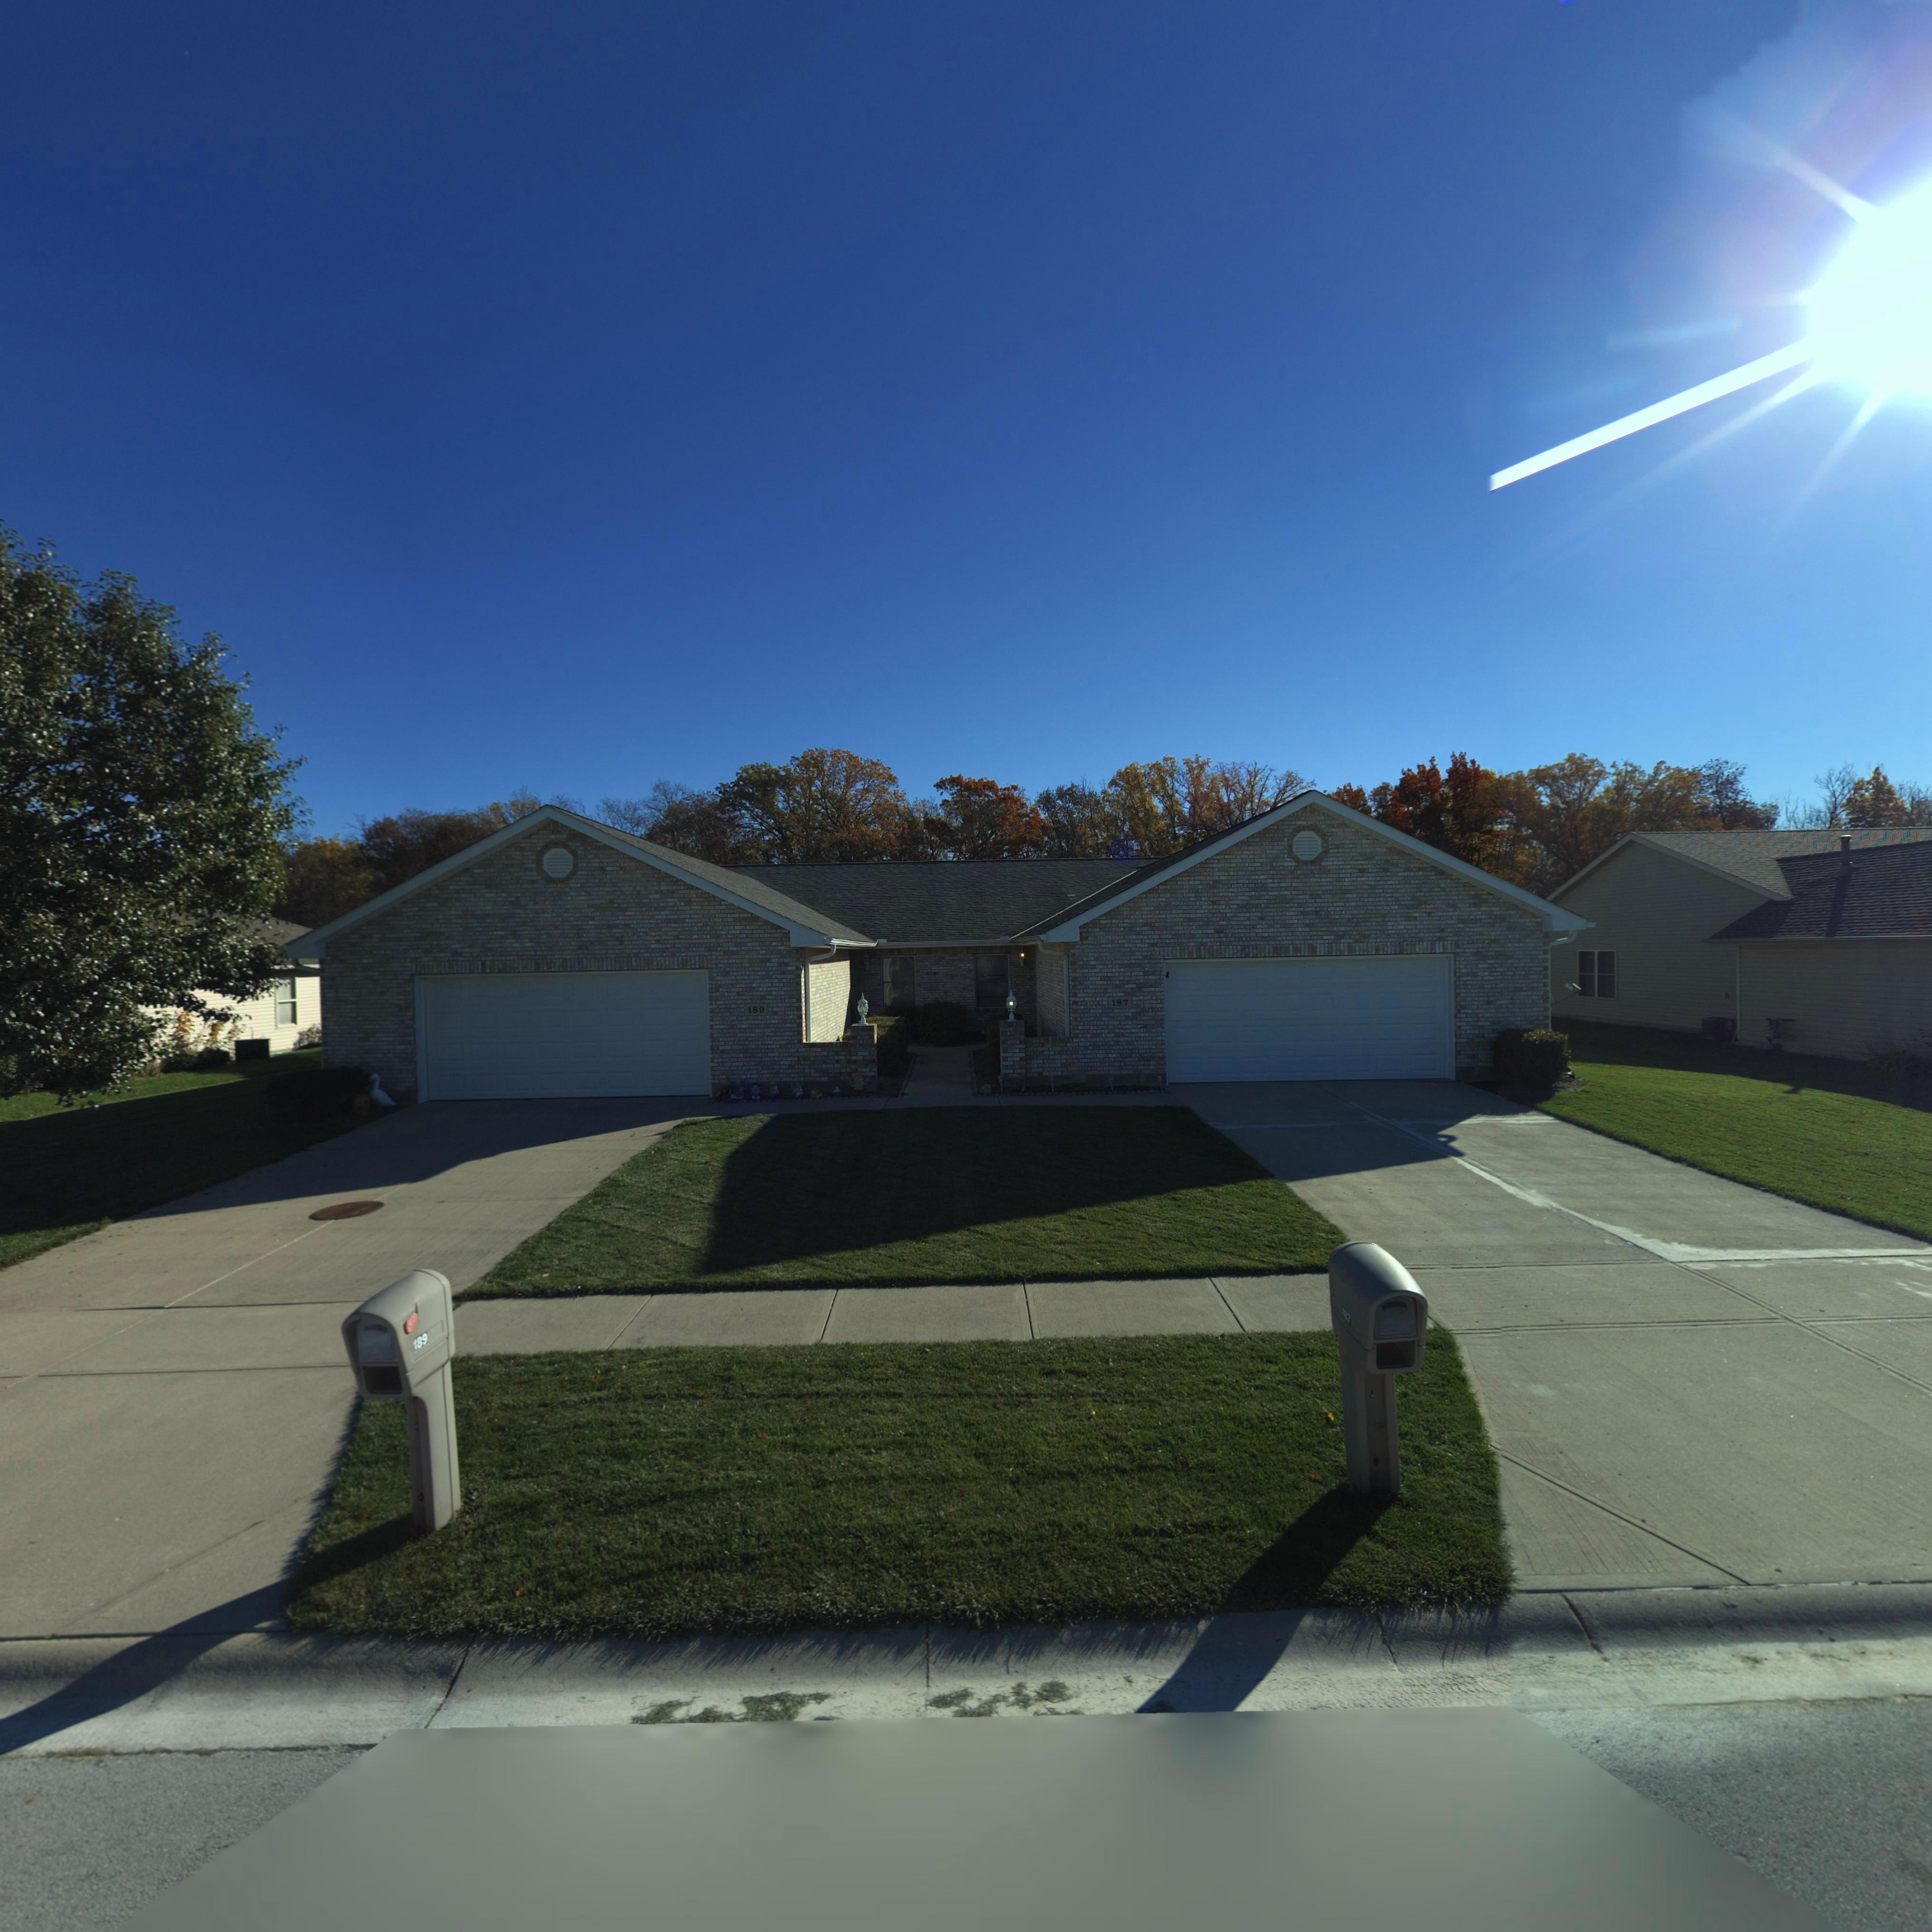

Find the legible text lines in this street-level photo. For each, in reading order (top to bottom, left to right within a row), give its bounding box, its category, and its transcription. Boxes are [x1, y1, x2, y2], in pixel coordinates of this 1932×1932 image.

[1111, 998, 1129, 1007] StreetNumber: 187
[747, 1005, 765, 1014] StreetNumber: 189
[411, 1331, 429, 1353] StreetNumber: 189